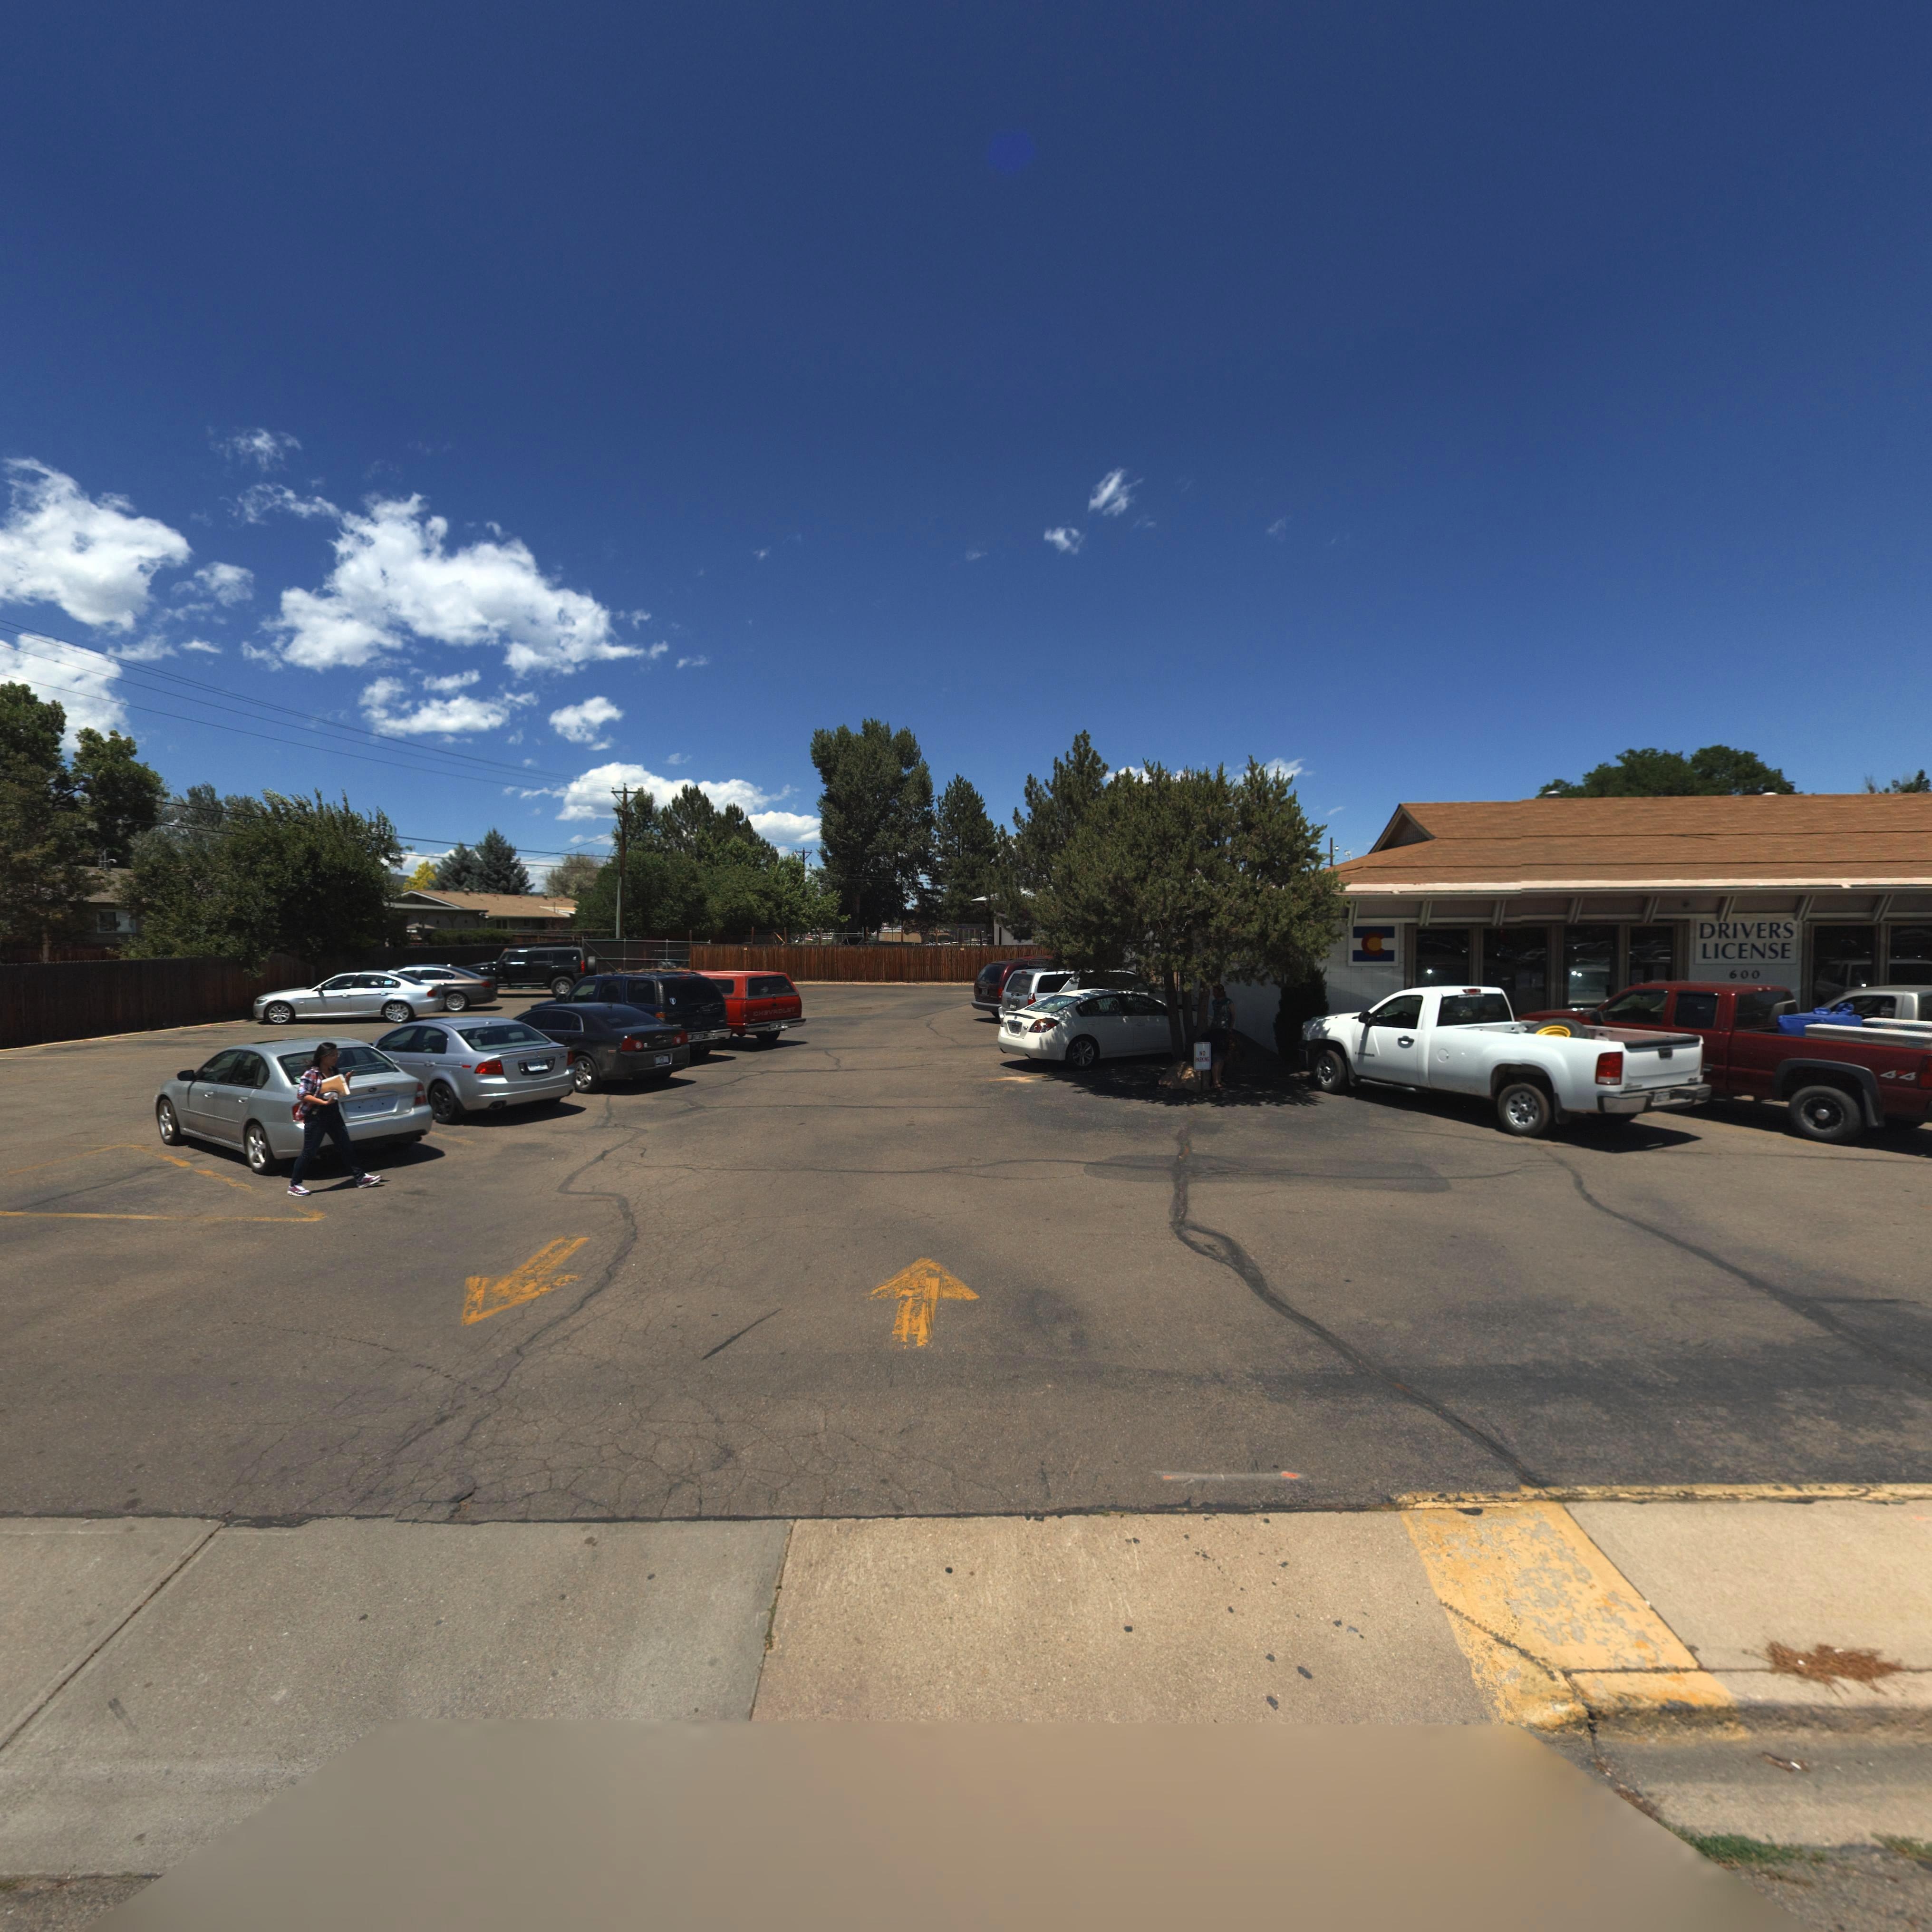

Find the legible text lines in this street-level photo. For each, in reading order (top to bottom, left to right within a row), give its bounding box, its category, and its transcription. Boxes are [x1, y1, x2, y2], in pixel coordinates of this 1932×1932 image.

[1728, 969, 1762, 980] StreetNumber: 600